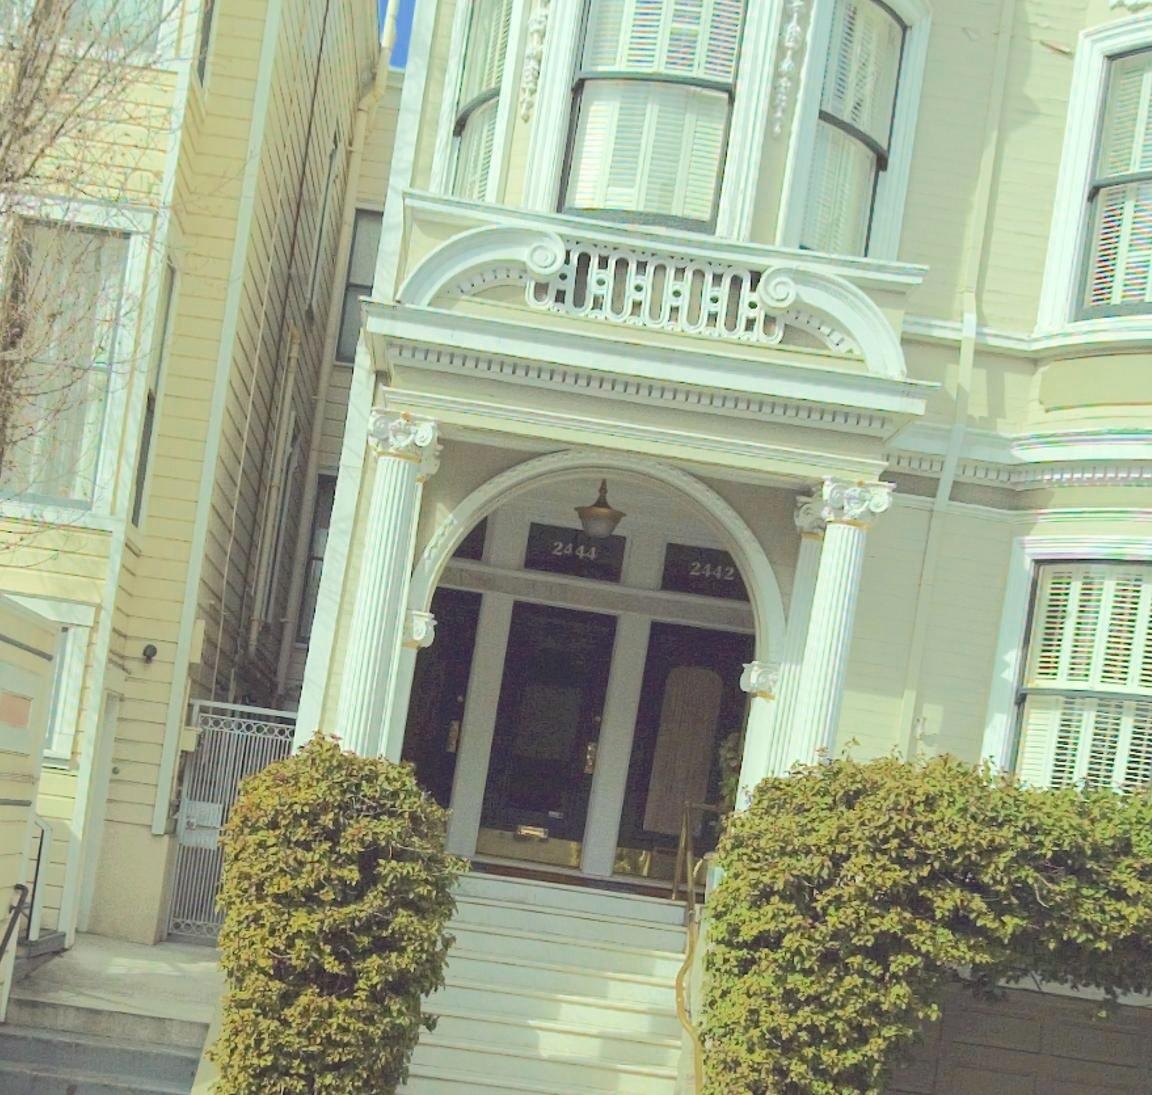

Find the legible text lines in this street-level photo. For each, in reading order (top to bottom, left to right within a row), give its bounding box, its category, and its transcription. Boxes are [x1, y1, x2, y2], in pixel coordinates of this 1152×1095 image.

[550, 538, 599, 564] StreetNumber: 2444
[688, 559, 736, 582] StreetNumber: 2442